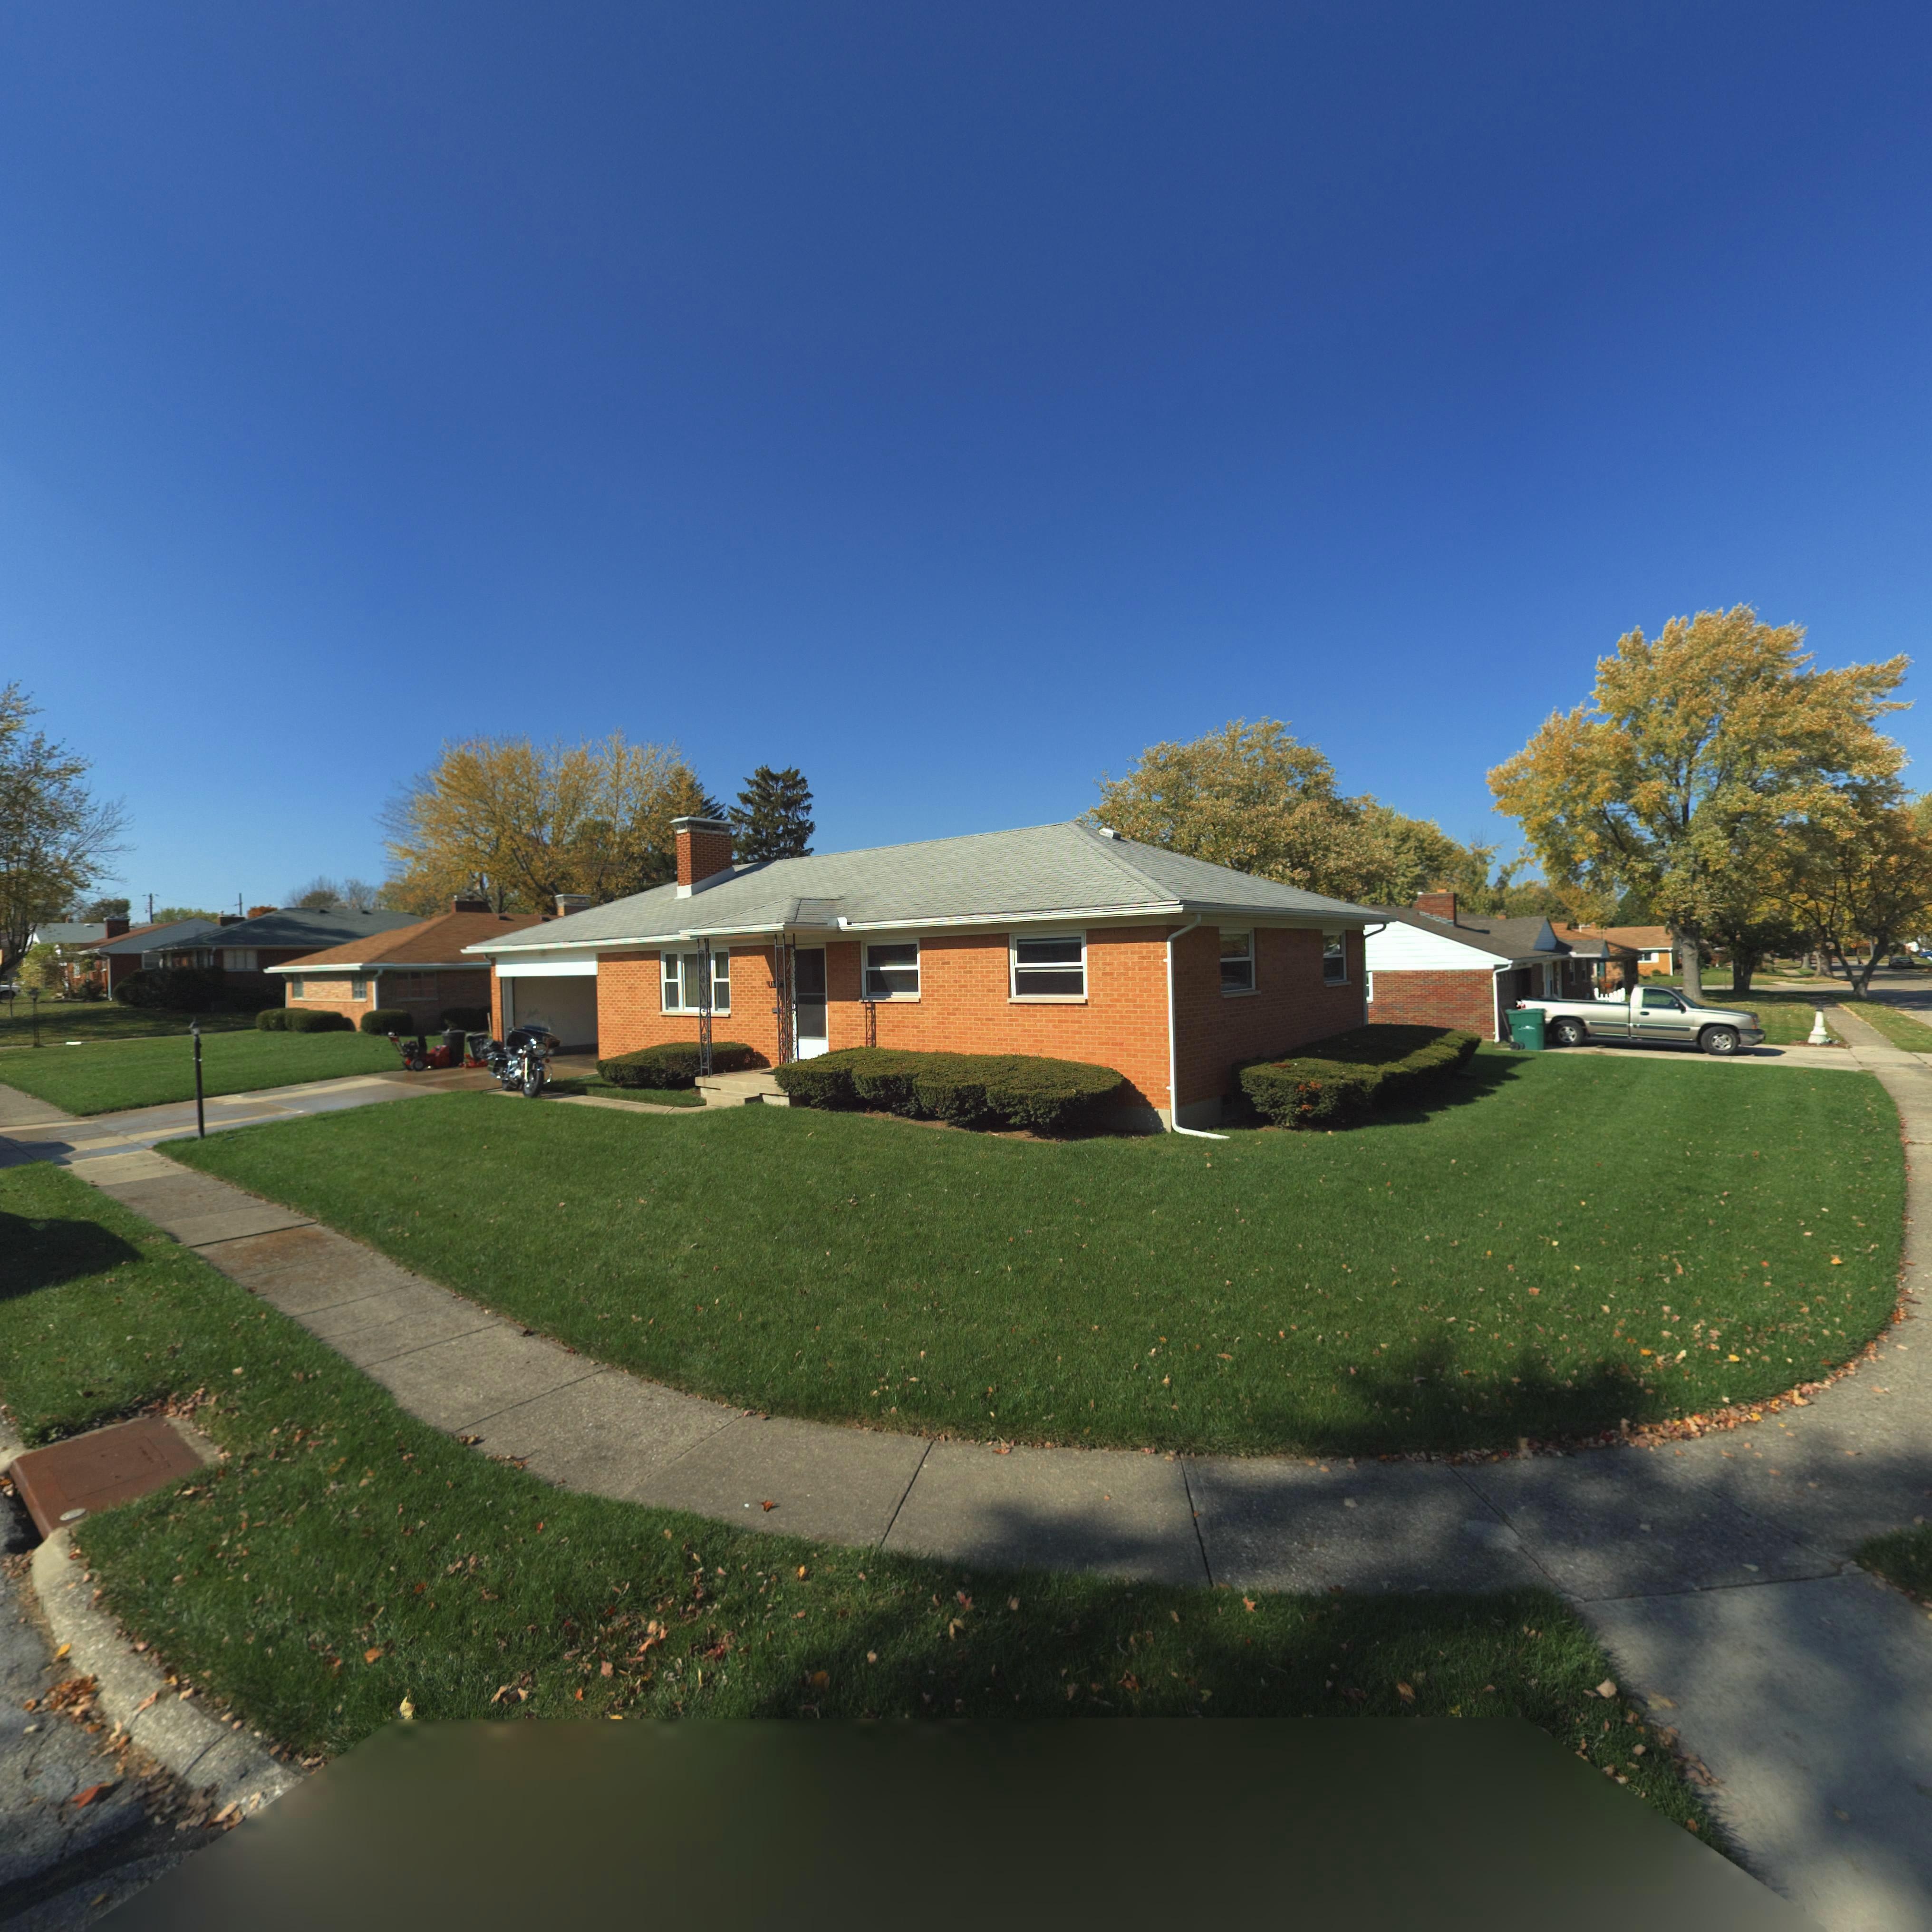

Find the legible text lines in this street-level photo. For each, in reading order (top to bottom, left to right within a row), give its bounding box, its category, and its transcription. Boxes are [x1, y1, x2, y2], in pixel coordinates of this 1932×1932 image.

[769, 981, 774, 987] StreetNumber: 11